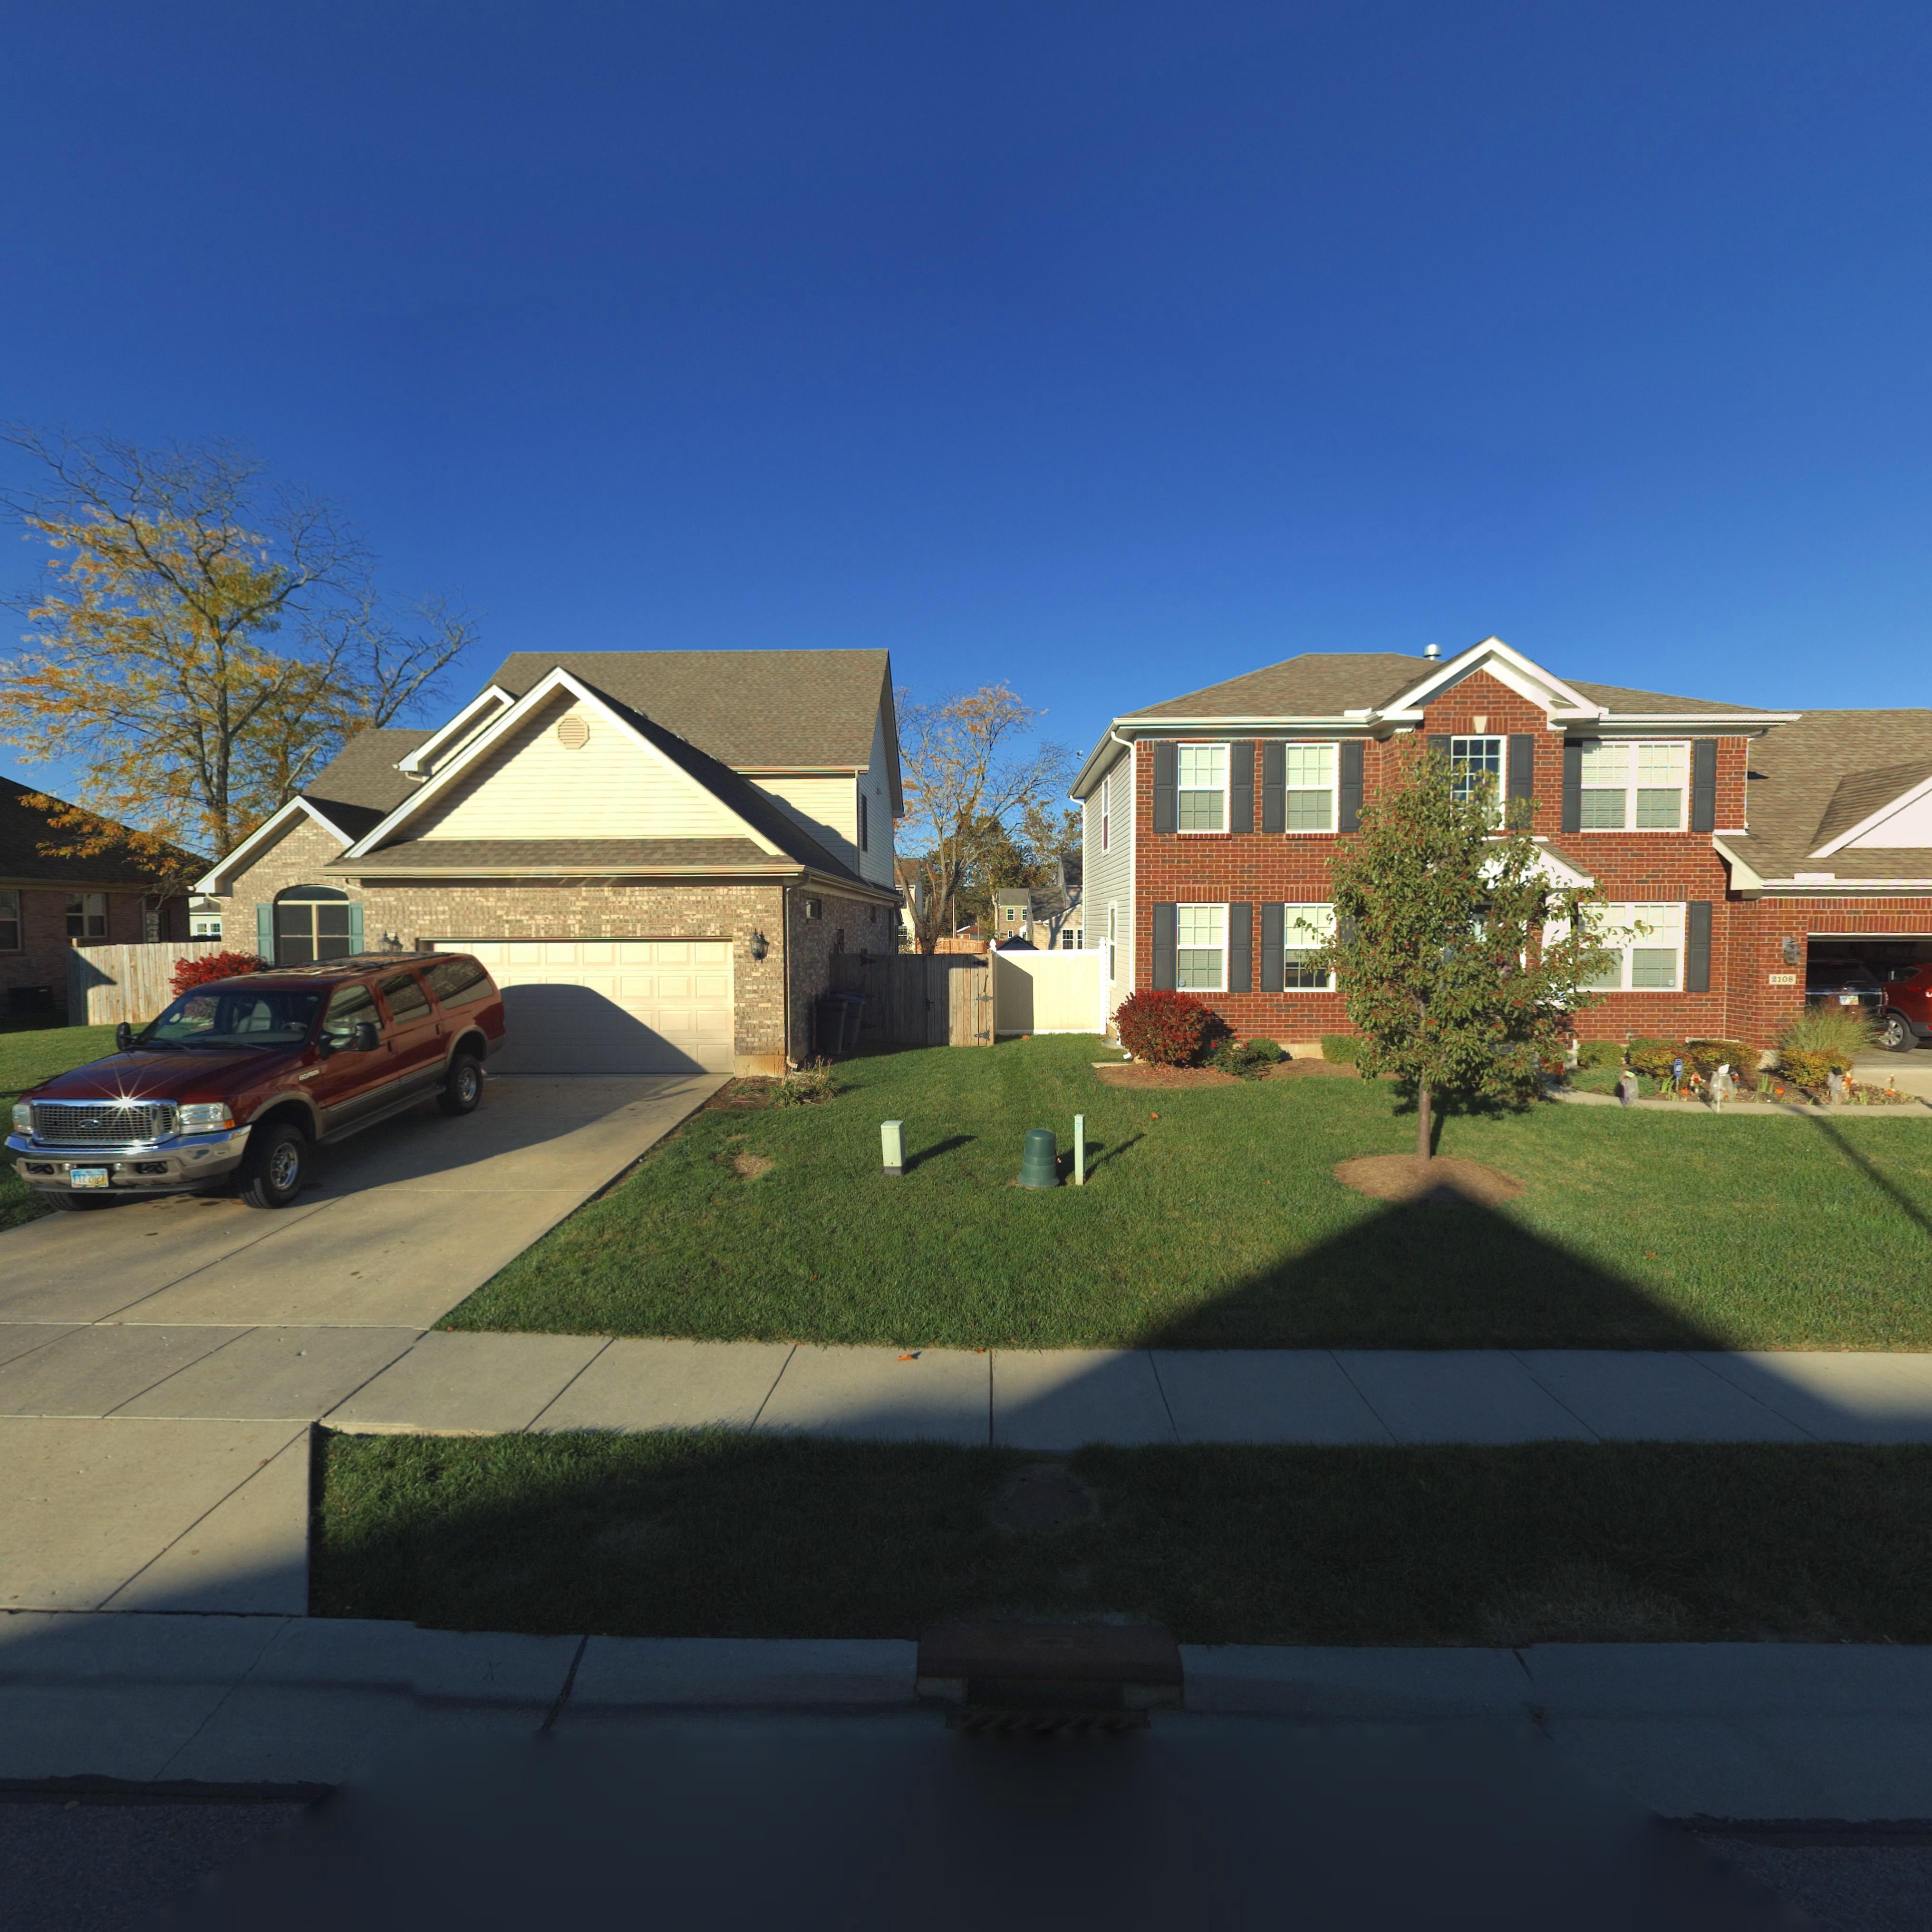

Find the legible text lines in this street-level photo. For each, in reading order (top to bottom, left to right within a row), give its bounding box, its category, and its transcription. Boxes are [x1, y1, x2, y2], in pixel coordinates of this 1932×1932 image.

[1770, 975, 1795, 984] StreetNumber: 2108